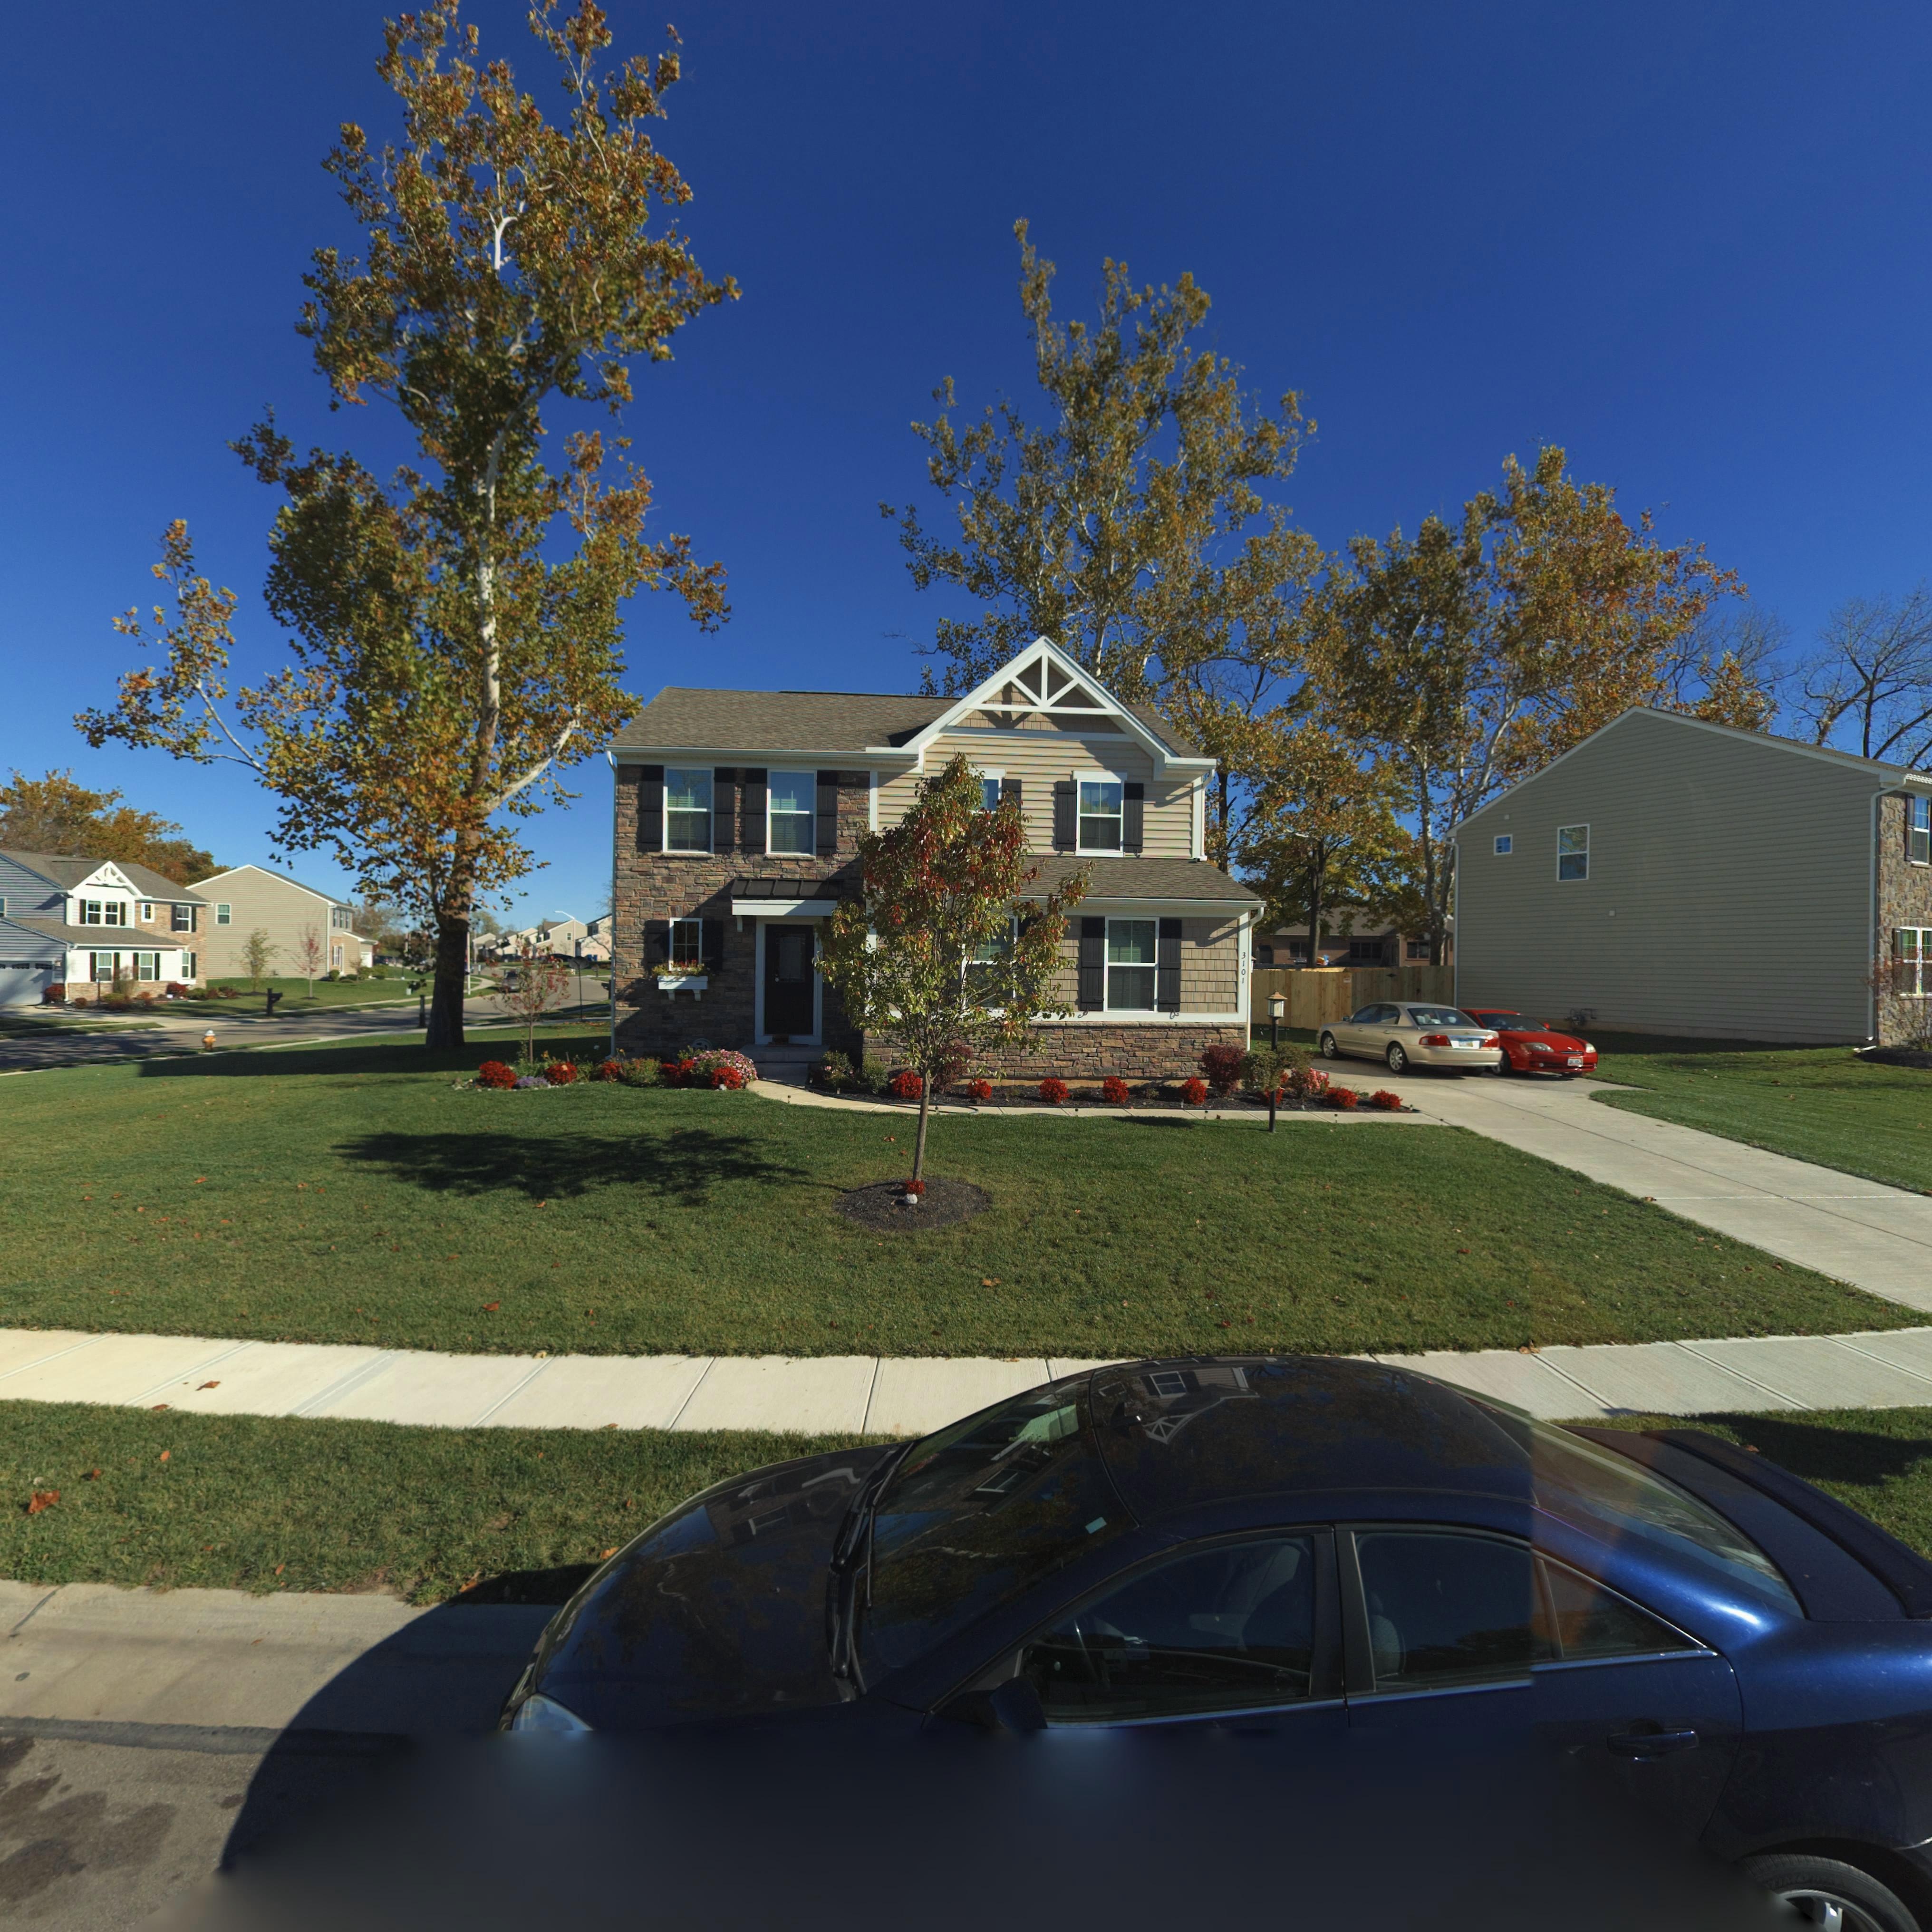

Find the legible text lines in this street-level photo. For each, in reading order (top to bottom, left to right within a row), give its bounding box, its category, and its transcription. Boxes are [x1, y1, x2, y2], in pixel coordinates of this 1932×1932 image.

[1241, 951, 1246, 984] StreetNumber: 3101